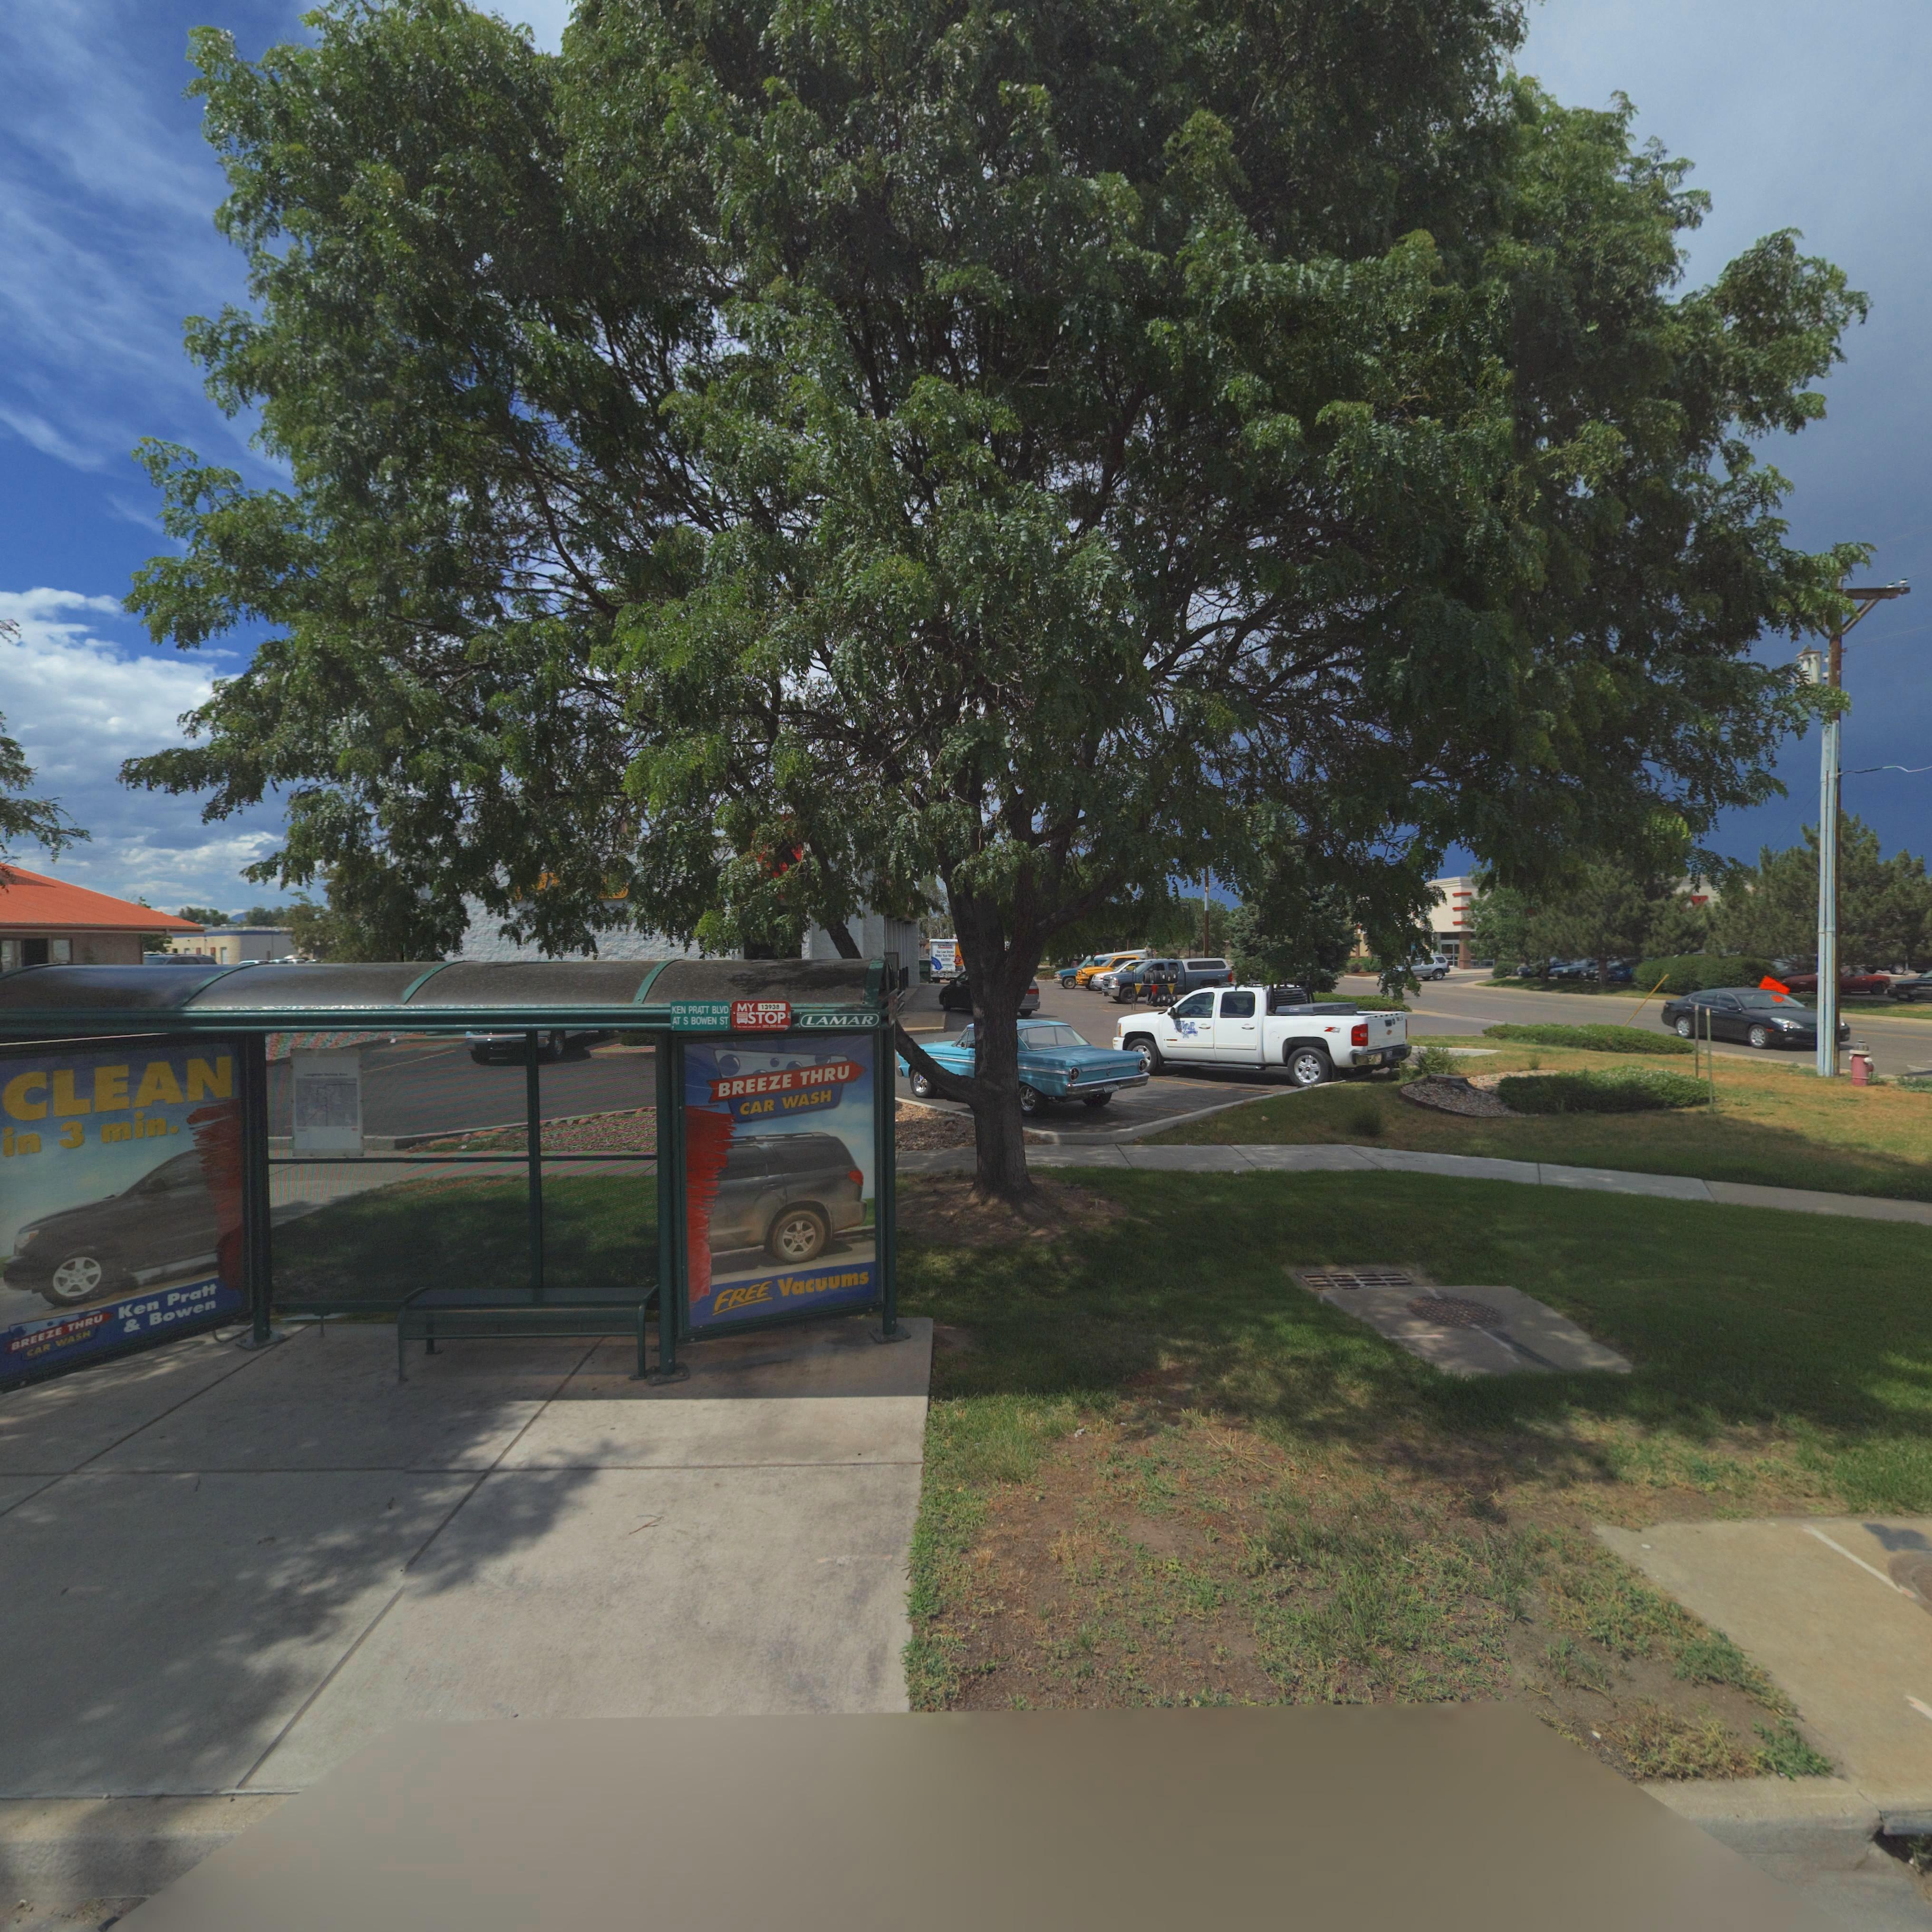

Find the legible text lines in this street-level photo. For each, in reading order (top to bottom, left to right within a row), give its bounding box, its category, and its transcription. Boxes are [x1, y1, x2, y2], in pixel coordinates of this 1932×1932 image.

[671, 1005, 729, 1014] StreetName: KEN PRATT BLVD
[683, 1016, 729, 1025] StreetName: S BOWEN ST